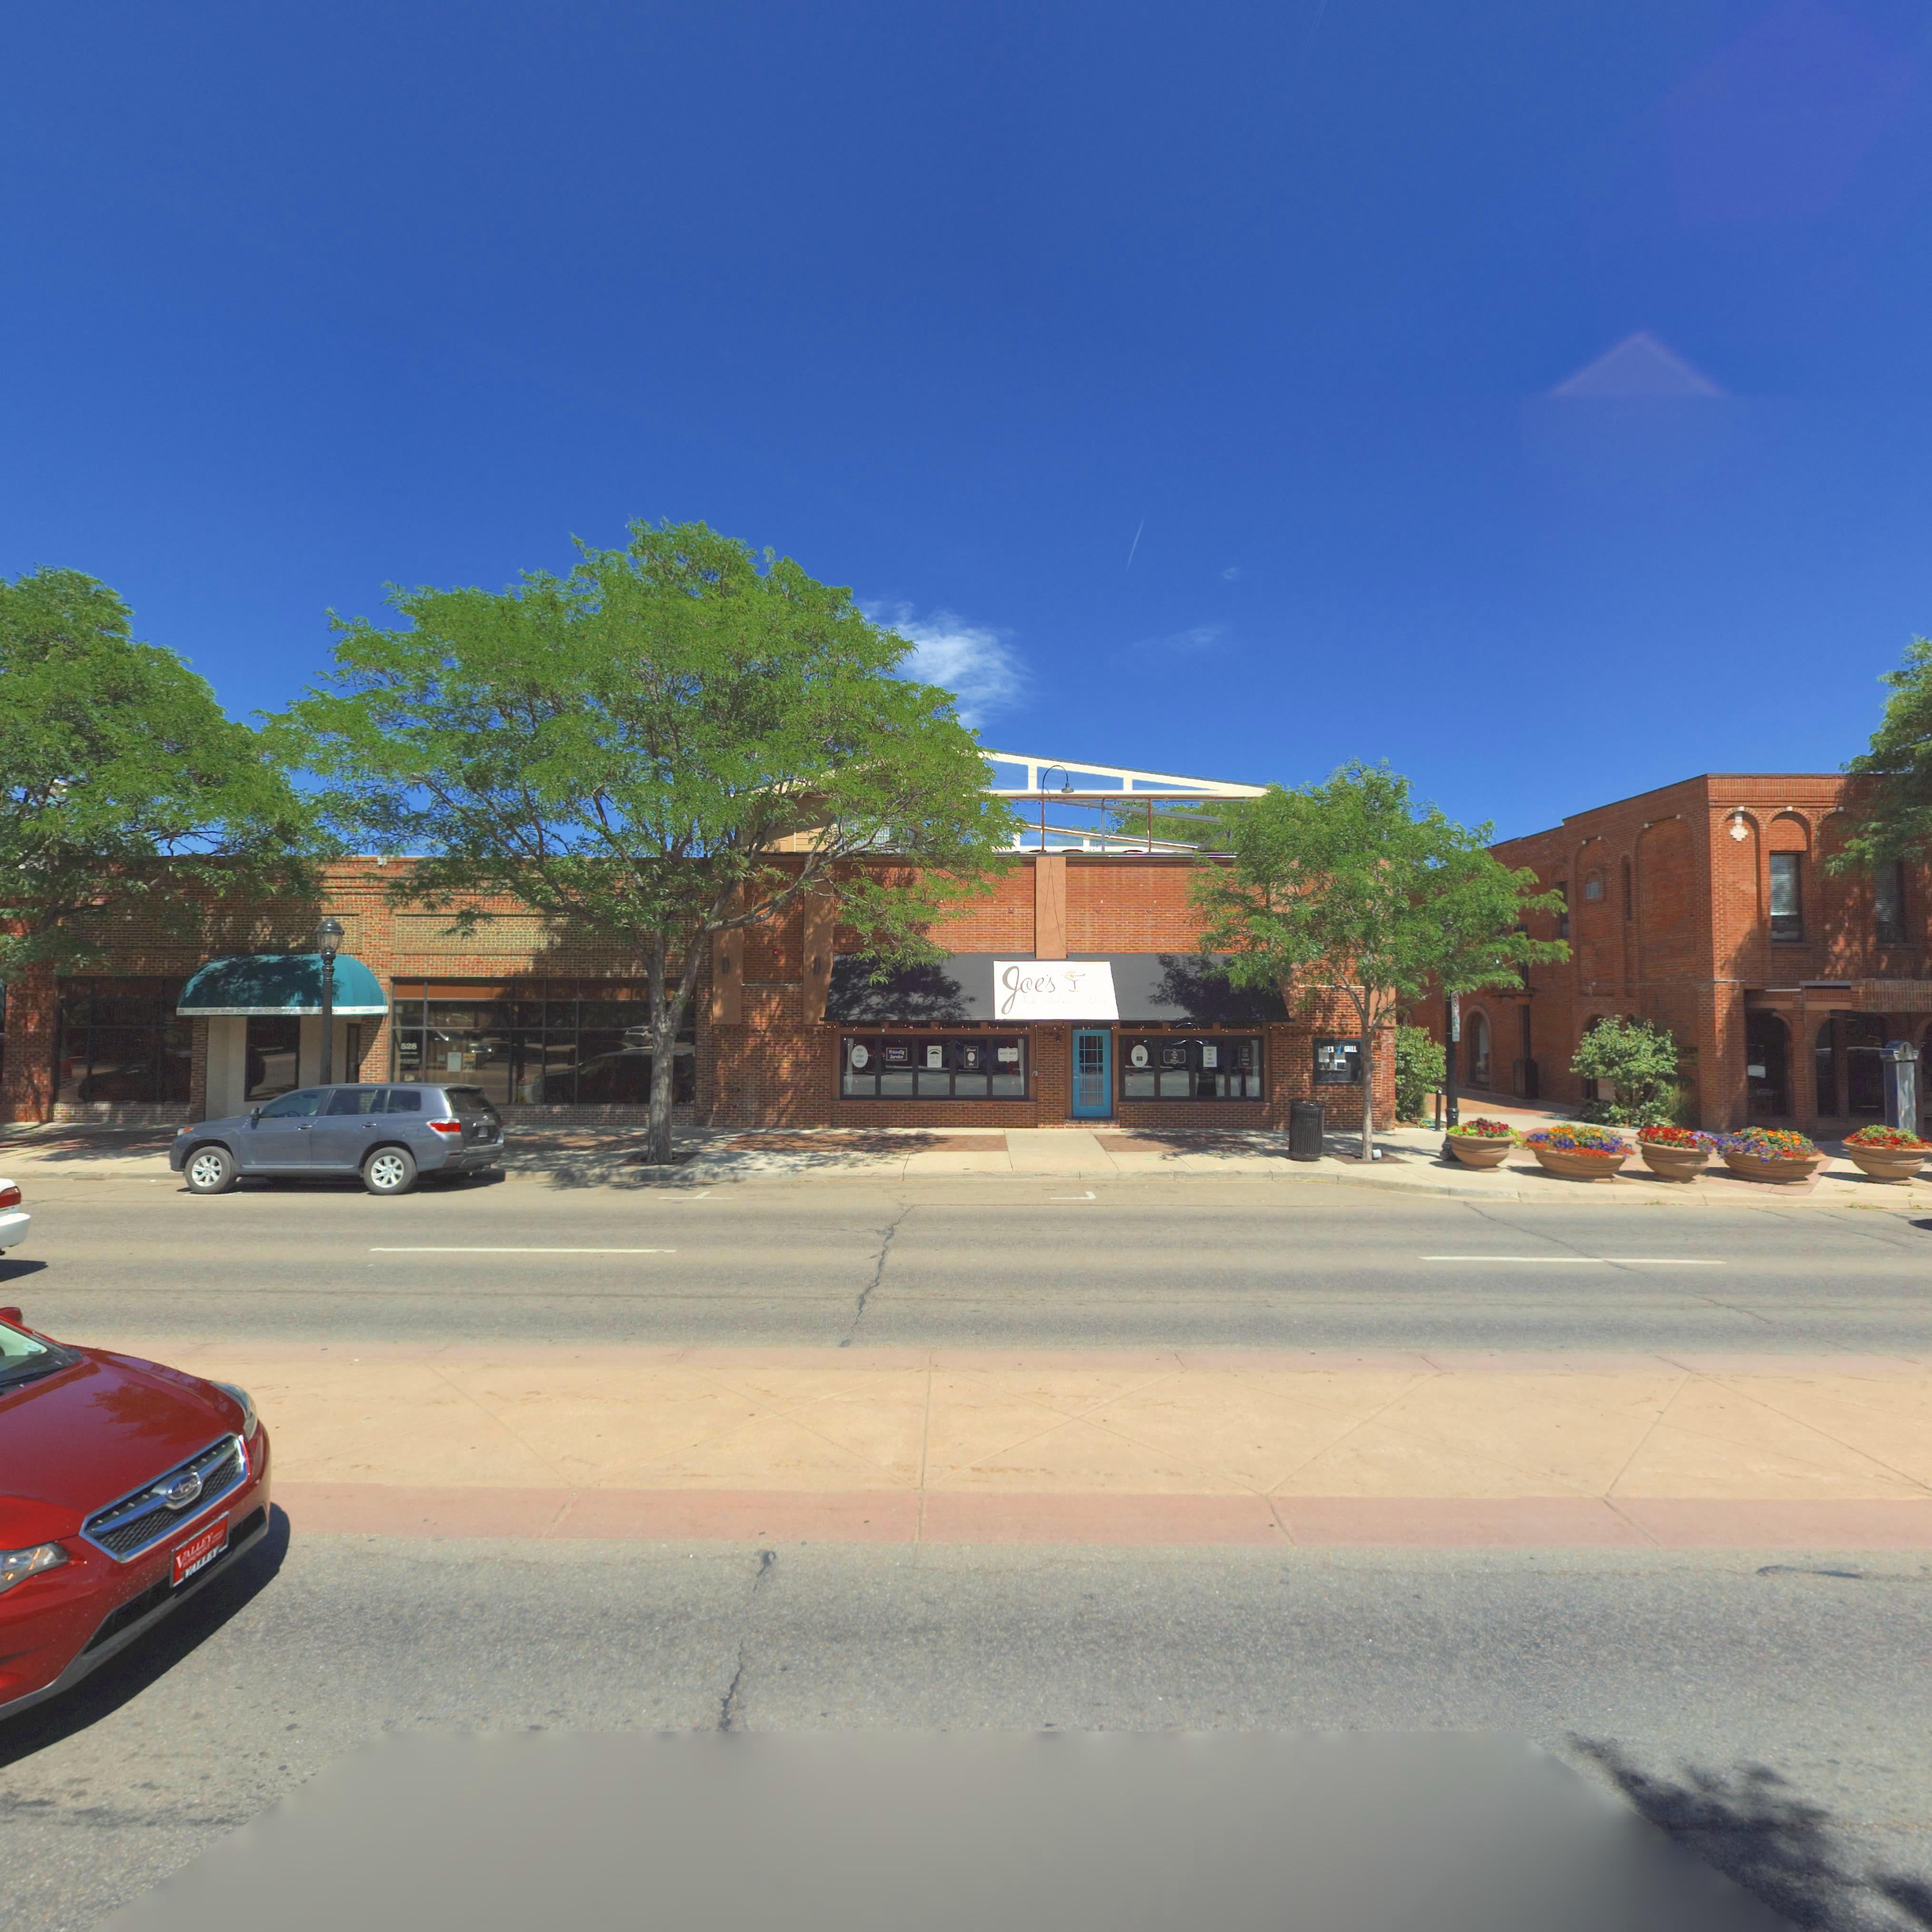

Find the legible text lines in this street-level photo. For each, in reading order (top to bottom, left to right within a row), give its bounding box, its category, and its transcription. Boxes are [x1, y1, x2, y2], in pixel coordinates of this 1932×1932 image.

[1001, 965, 1055, 1014] BusinessName: Joes
[176, 1008, 184, 1014] StreetNumber: *2*
[319, 1007, 338, 1013] StreetNumber: **8
[400, 1043, 417, 1050] StreetNumber: 528
[1322, 1045, 1357, 1053] BusinessName: J*ES * G**LL